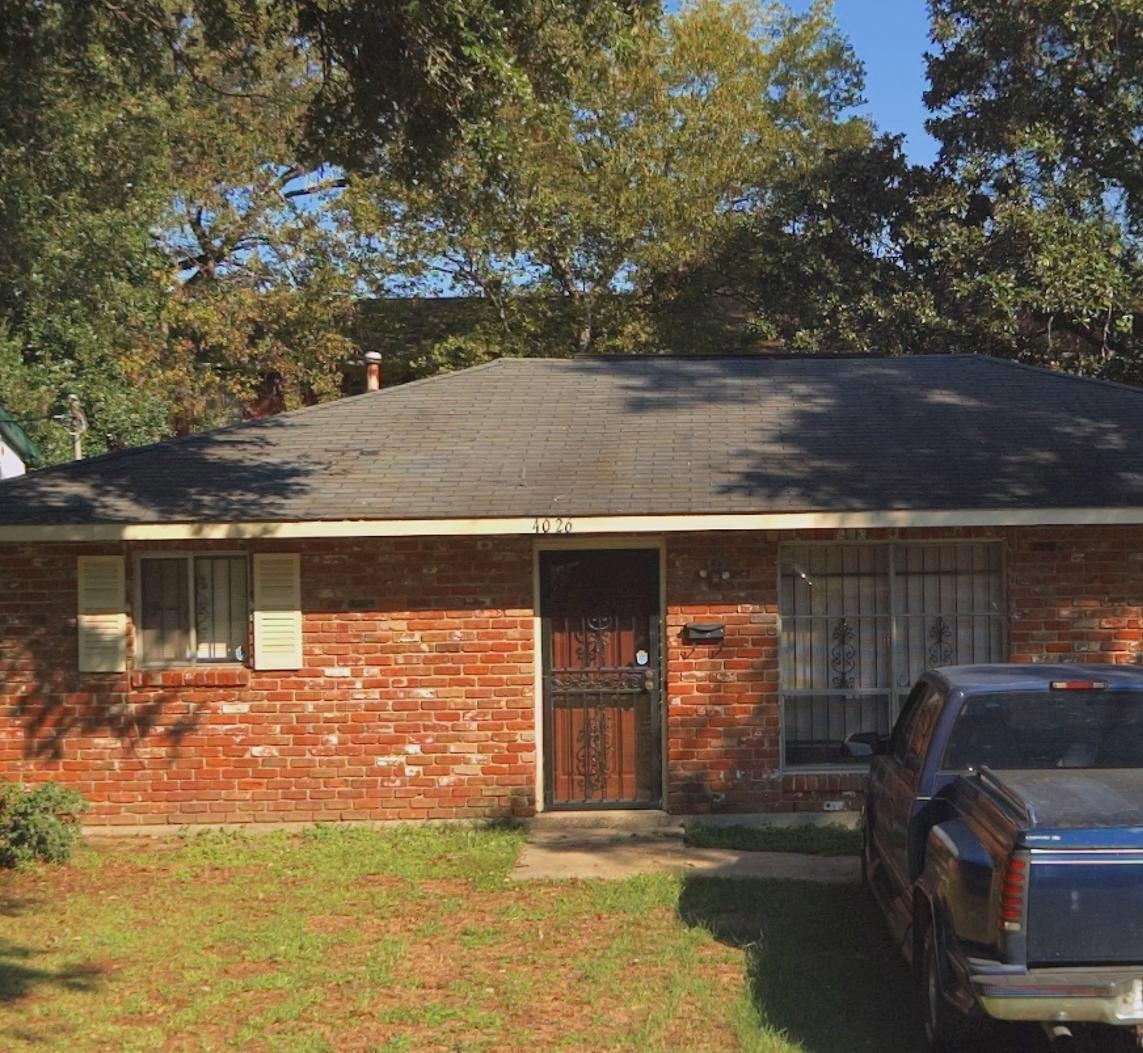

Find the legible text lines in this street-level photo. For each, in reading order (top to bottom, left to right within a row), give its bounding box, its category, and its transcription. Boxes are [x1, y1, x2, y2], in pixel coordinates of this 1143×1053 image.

[532, 517, 573, 534] StreetNumber: 4026